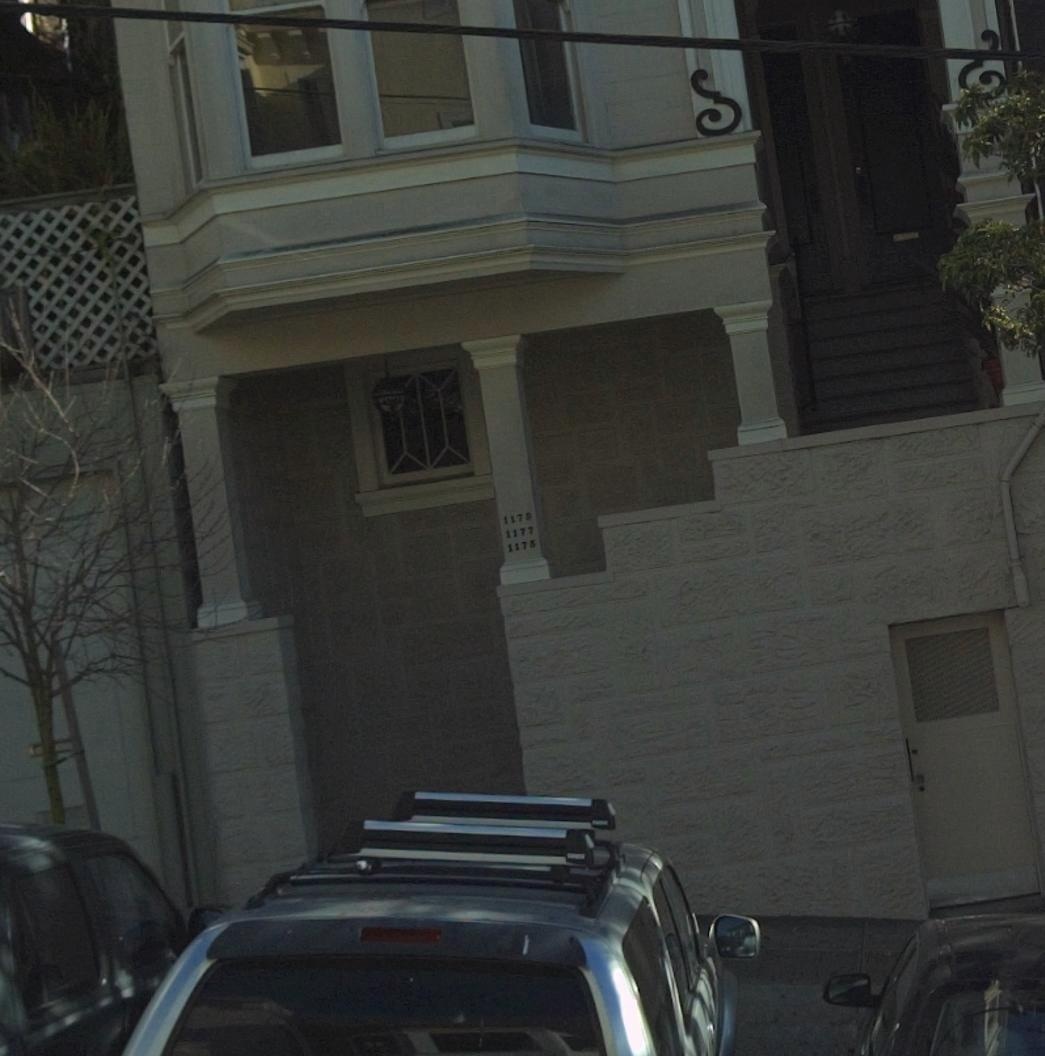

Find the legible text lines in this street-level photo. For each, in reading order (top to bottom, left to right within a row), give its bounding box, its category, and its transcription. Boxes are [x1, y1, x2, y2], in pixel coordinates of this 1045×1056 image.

[502, 510, 533, 526] StreetNumber: 1179
[503, 525, 535, 540] StreetNumber: 1177
[506, 538, 537, 555] StreetNumber: 1175